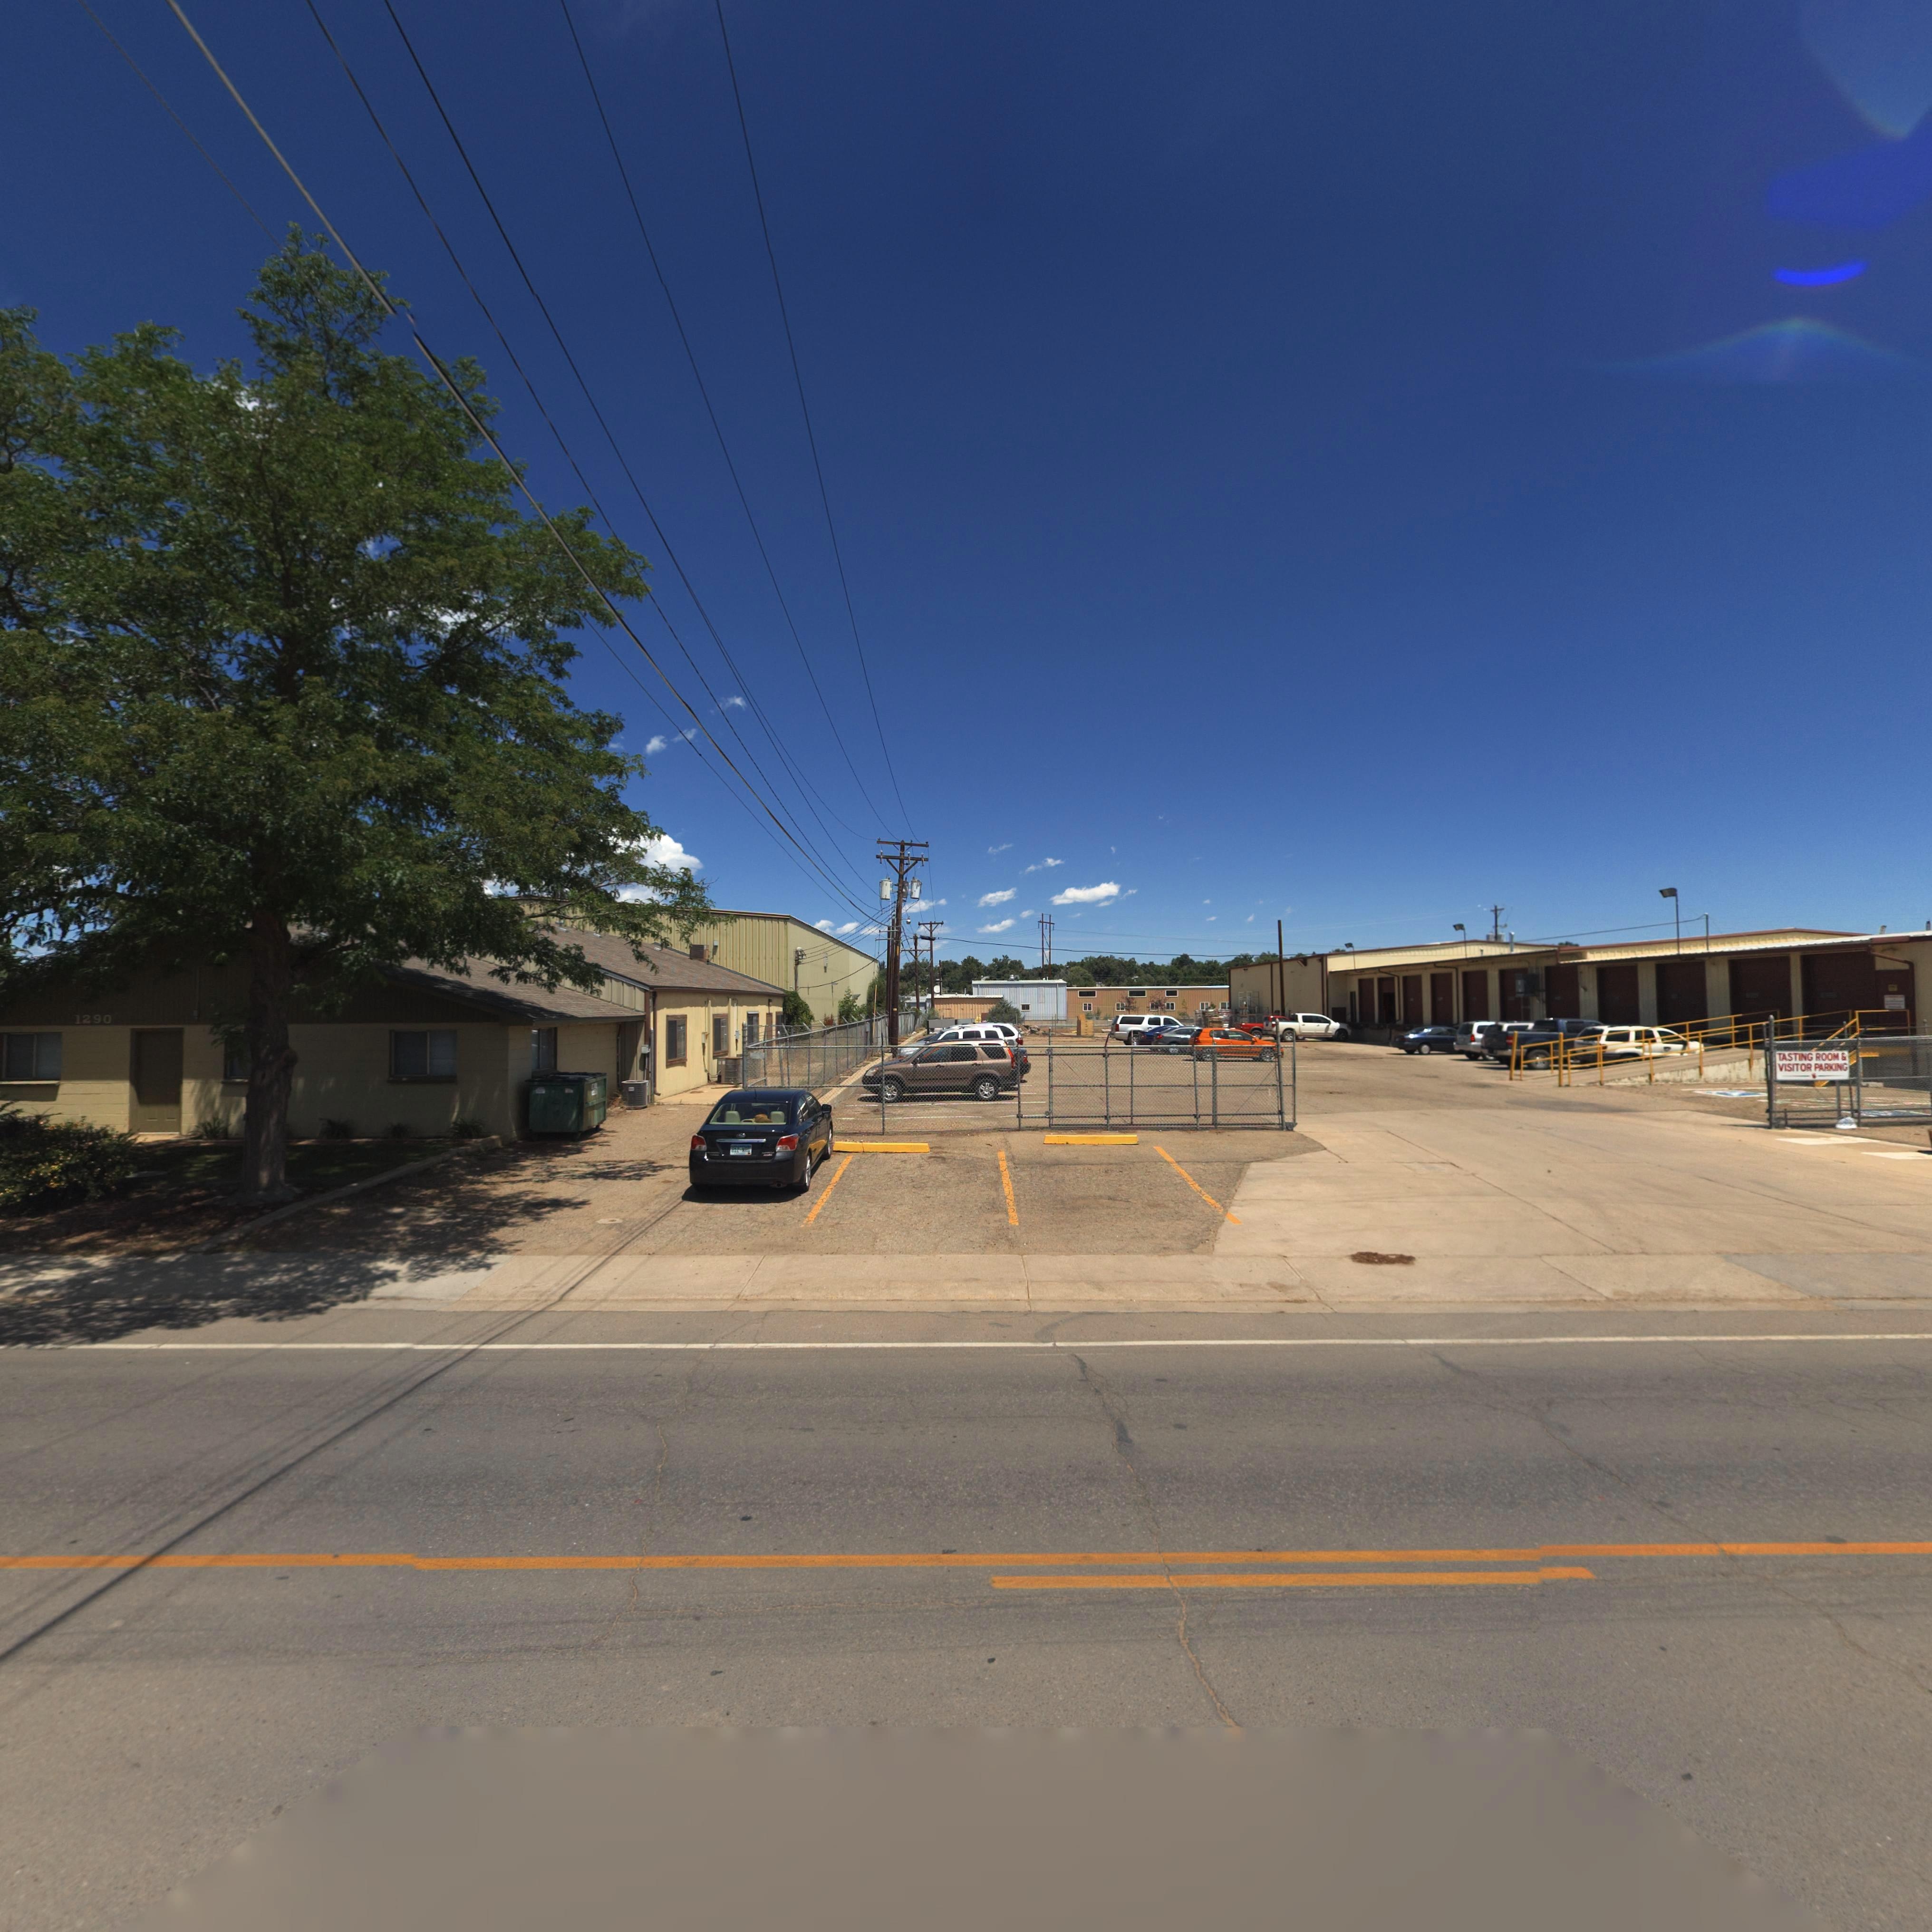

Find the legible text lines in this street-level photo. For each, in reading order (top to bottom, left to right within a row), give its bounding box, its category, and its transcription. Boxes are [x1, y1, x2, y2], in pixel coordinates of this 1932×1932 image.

[75, 1014, 111, 1024] StreetNumber: 1290